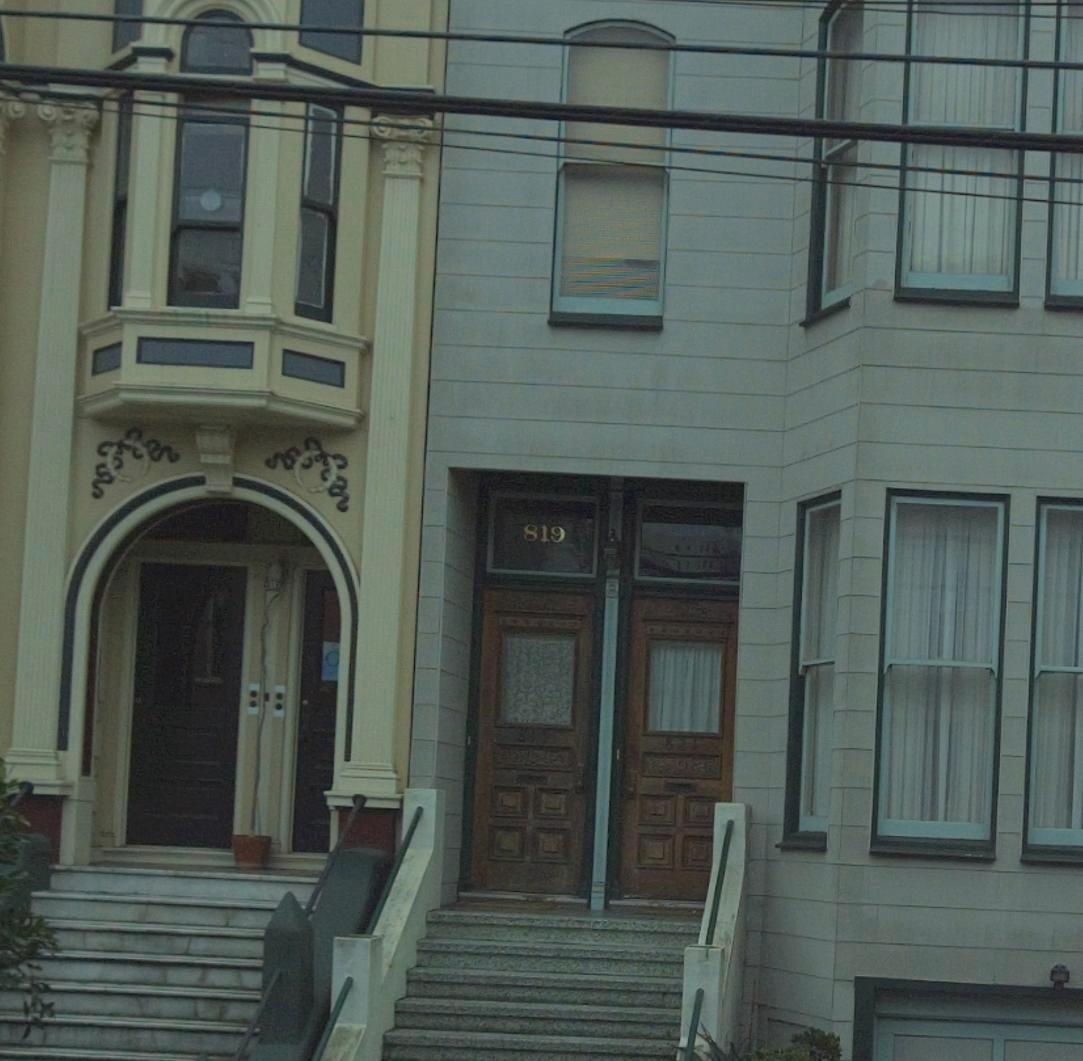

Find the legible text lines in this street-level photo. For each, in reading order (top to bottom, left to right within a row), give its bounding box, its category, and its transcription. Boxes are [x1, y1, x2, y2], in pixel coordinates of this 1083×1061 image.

[522, 522, 566, 545] StreetNumber: 819